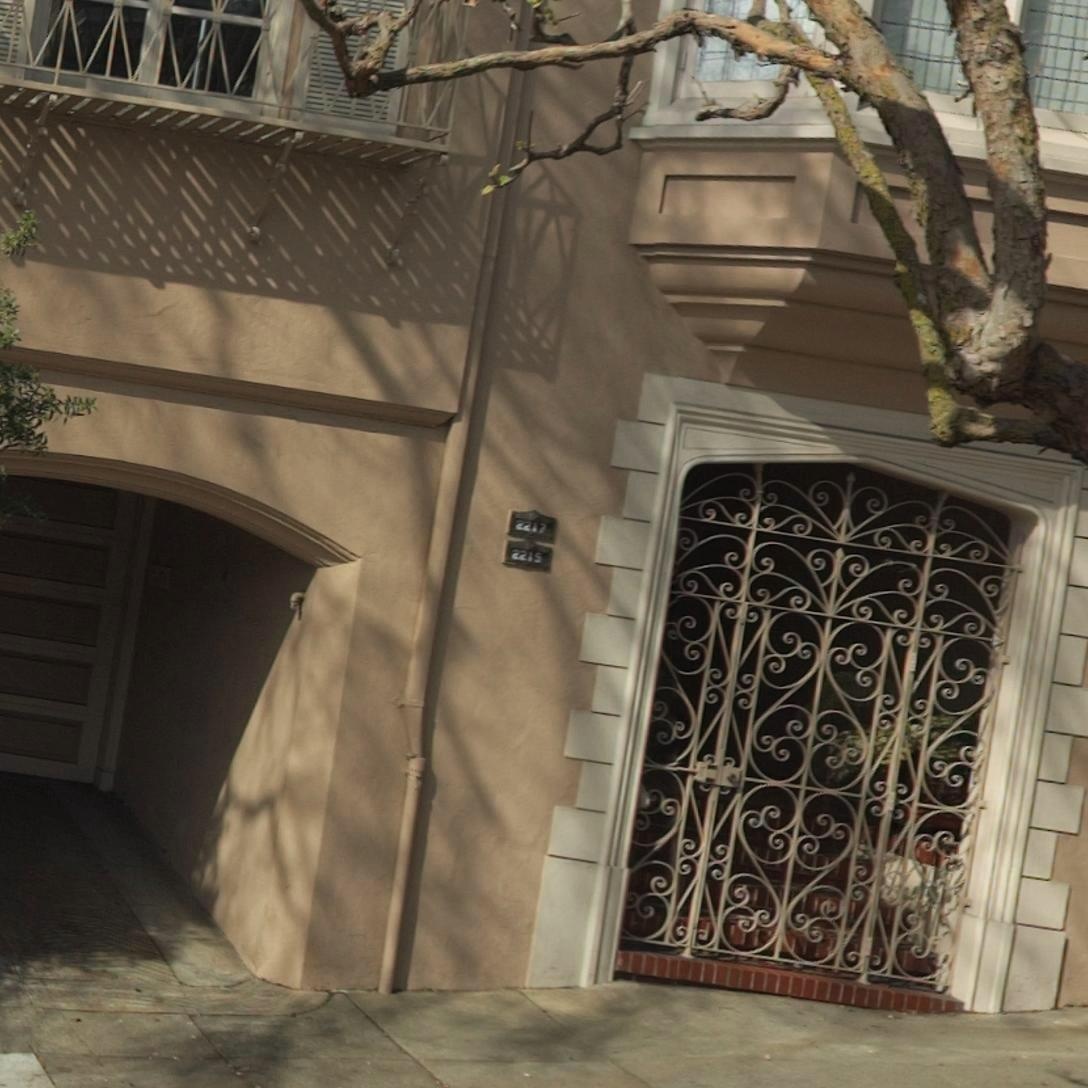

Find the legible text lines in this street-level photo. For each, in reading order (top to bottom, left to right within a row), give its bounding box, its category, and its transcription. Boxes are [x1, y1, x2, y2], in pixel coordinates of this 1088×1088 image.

[512, 515, 553, 537] StreetNumber: 2217
[508, 545, 545, 567] StreetNumber: 2215